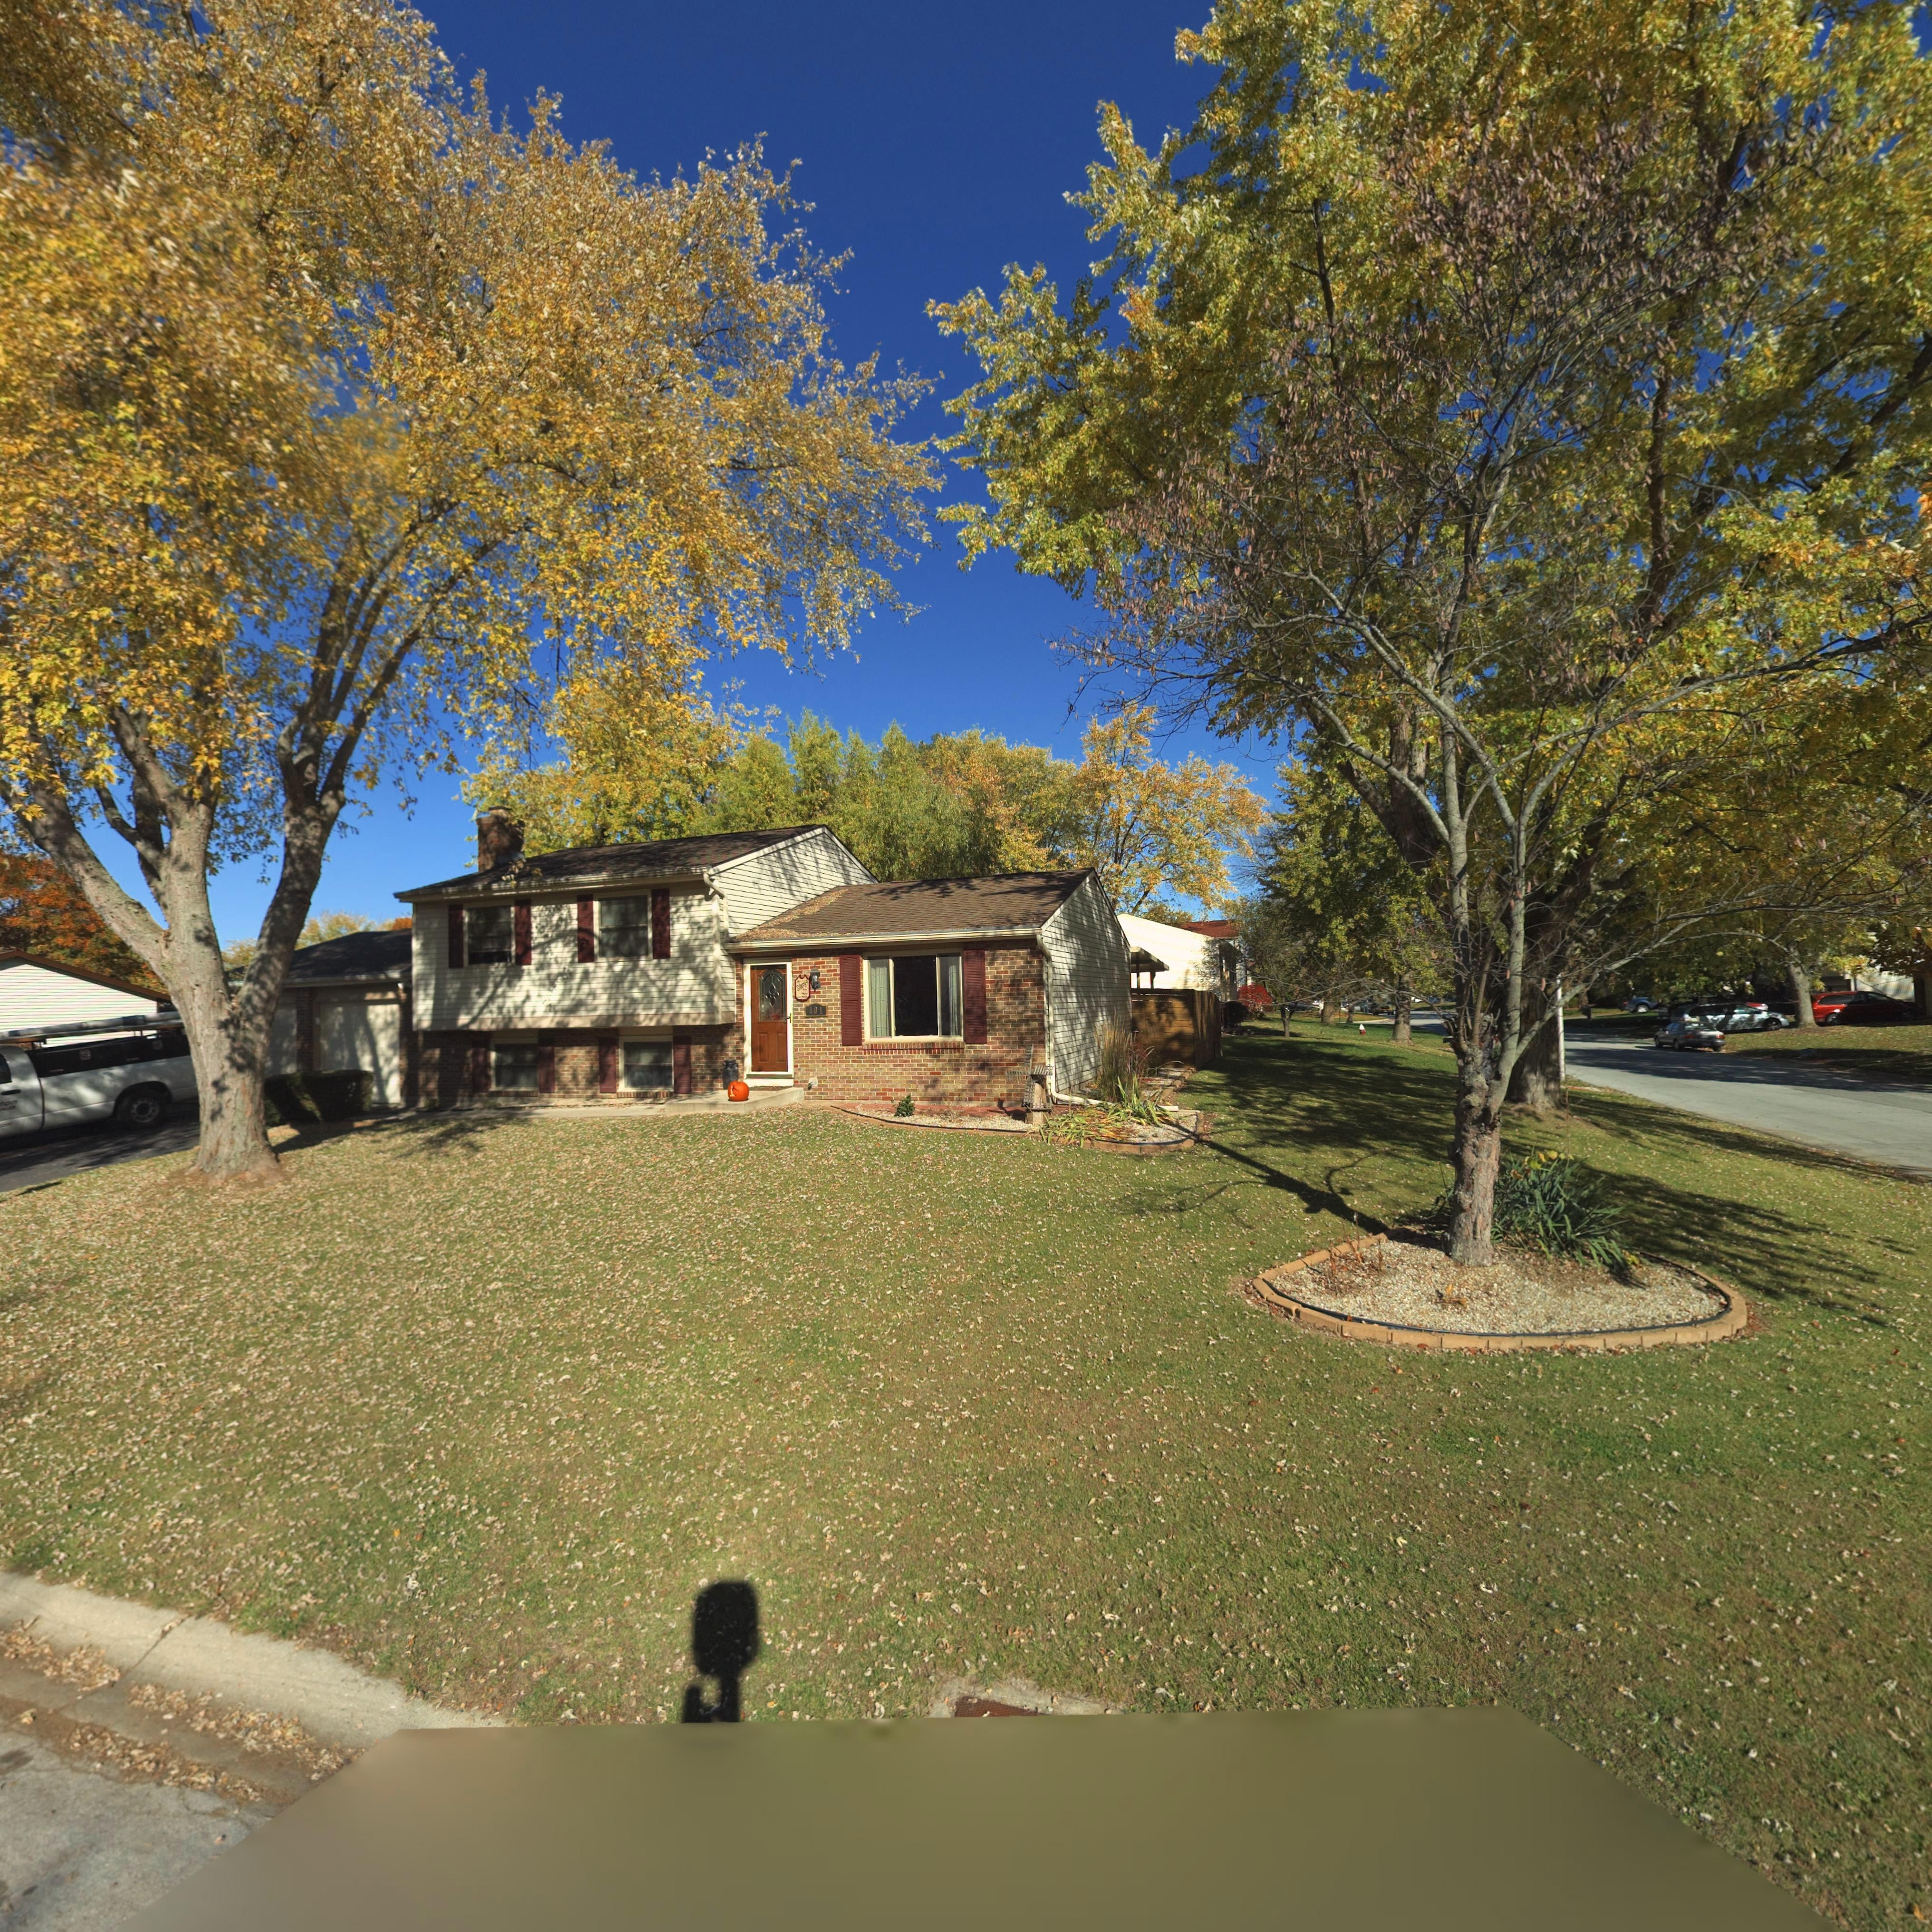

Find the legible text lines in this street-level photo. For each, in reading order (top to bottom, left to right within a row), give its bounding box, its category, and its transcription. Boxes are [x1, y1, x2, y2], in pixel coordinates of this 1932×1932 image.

[809, 1005, 823, 1015] StreetNumber: 101